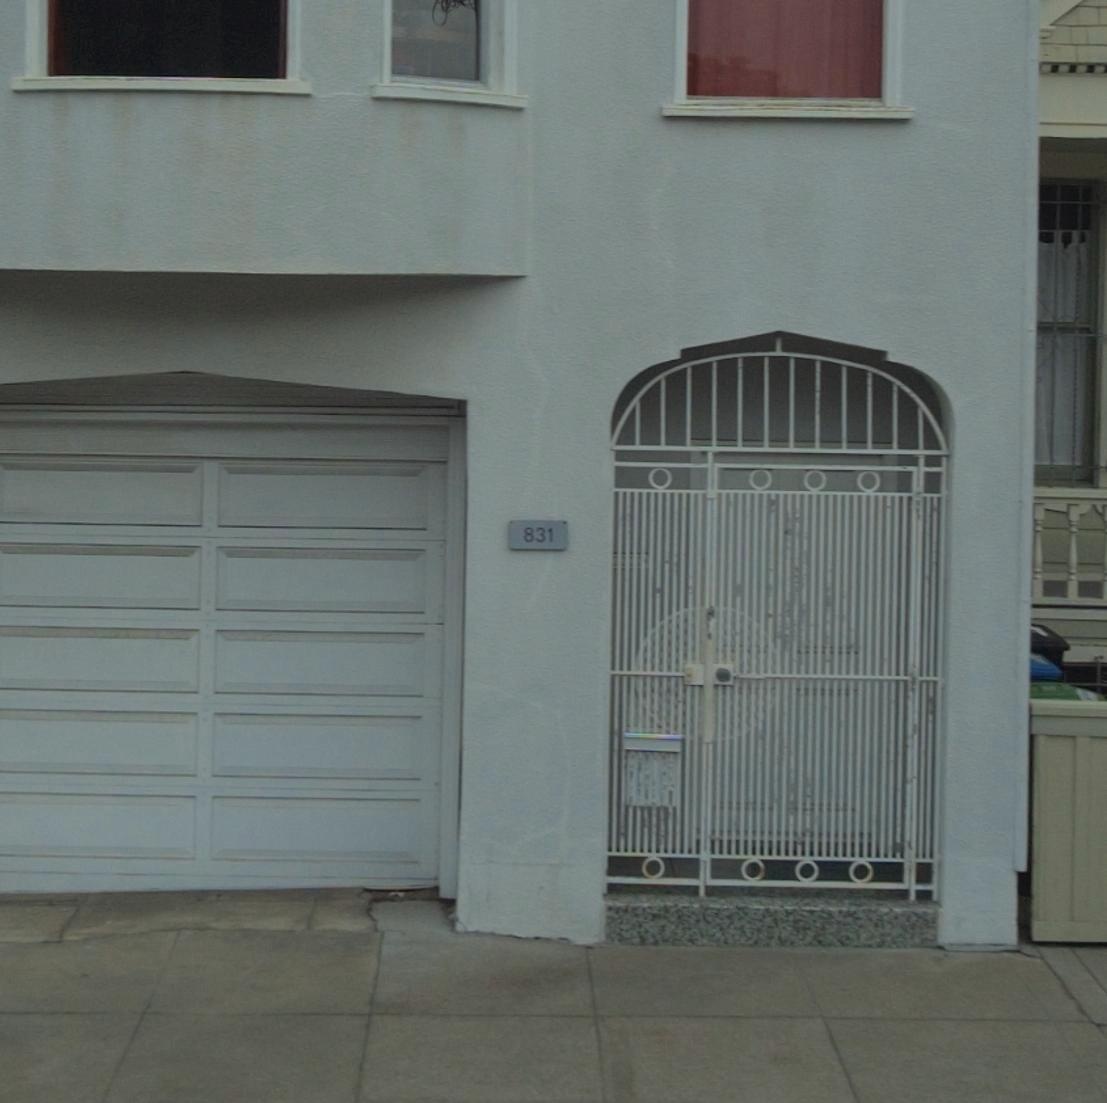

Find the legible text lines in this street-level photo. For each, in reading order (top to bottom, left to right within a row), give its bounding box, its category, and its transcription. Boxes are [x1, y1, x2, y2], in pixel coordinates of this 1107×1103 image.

[523, 526, 555, 544] StreetNumber: 831